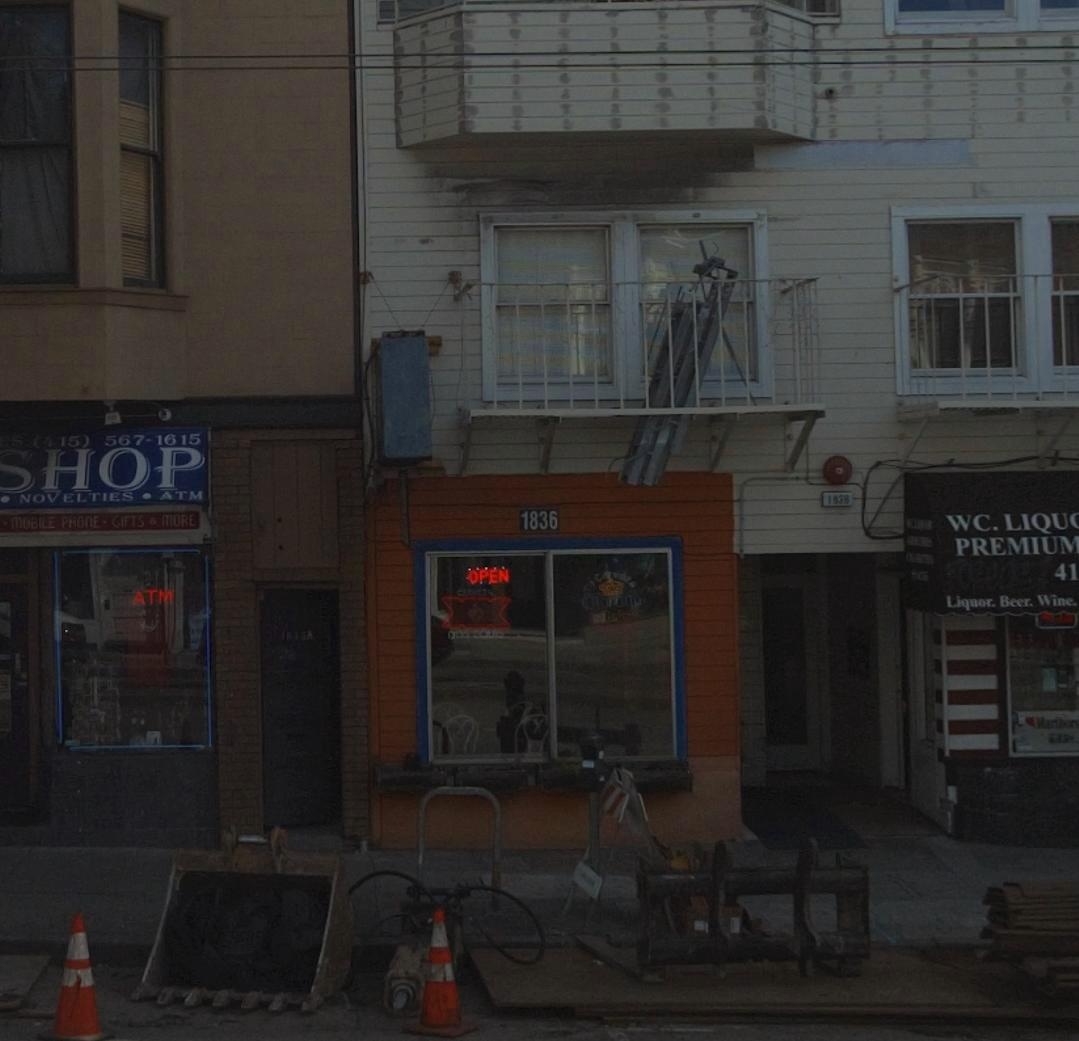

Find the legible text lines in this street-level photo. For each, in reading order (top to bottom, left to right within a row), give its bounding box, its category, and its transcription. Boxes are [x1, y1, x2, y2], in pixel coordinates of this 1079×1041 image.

[57, 430, 204, 451] None: 15) 567-1615
[39, 444, 206, 491] BusinessName: HOP
[16, 488, 204, 506] None: NOVELTIES * ATM
[825, 491, 852, 507] StreetNumber: 183*
[9, 512, 197, 532] None: MOBILE PHONE * GIFTS & MORE
[519, 508, 560, 532] StreetNumber: 1836
[941, 509, 1072, 536] BusinessName: WC. LIQU
[952, 534, 1060, 559] None: PREMIU
[465, 566, 512, 587] None: OPEN
[1050, 560, 1079, 584] None: 41
[129, 586, 177, 608] None: ATM
[440, 594, 514, 632] None: XX
[943, 591, 1078, 613] None: Liquor. Beer. Wine.
[279, 627, 316, 643] StreetNumber: 18**A